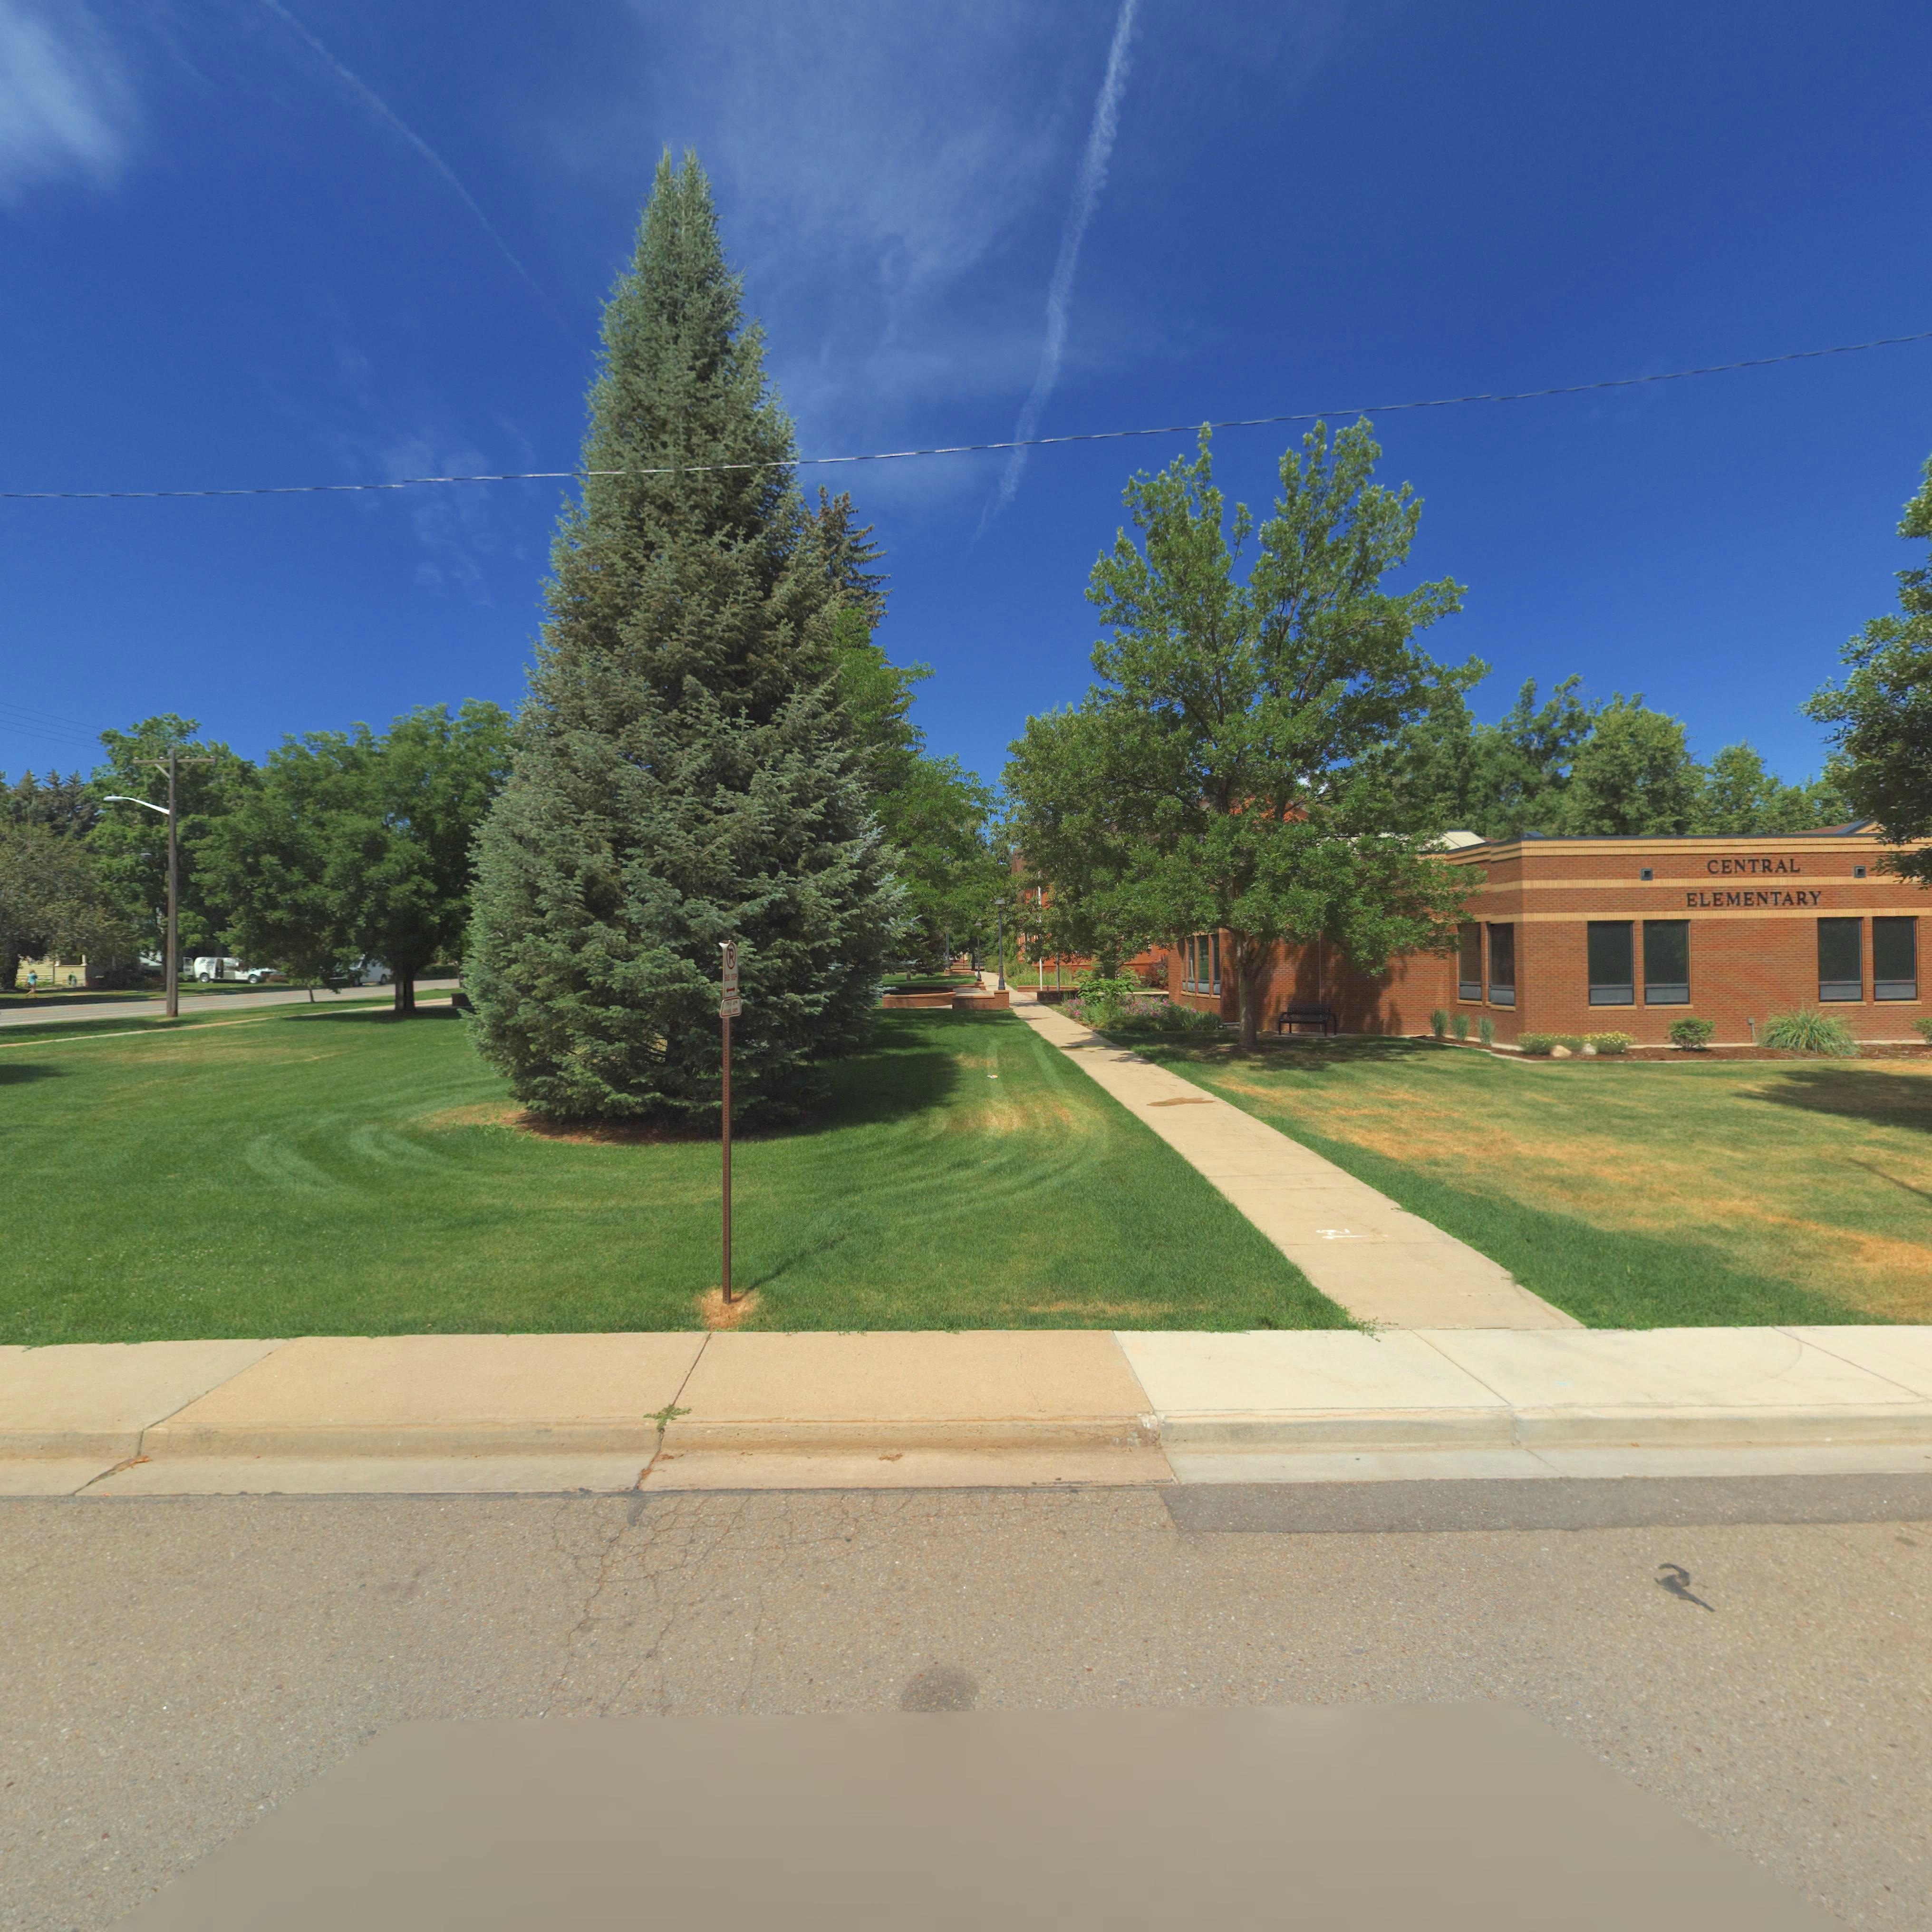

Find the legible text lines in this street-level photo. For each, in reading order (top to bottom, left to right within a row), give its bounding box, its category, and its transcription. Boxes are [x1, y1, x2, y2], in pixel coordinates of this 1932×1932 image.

[1707, 858, 1801, 873] BusinessName: CENTRAL
[1686, 890, 1822, 907] BusinessName: ELEMENTARY